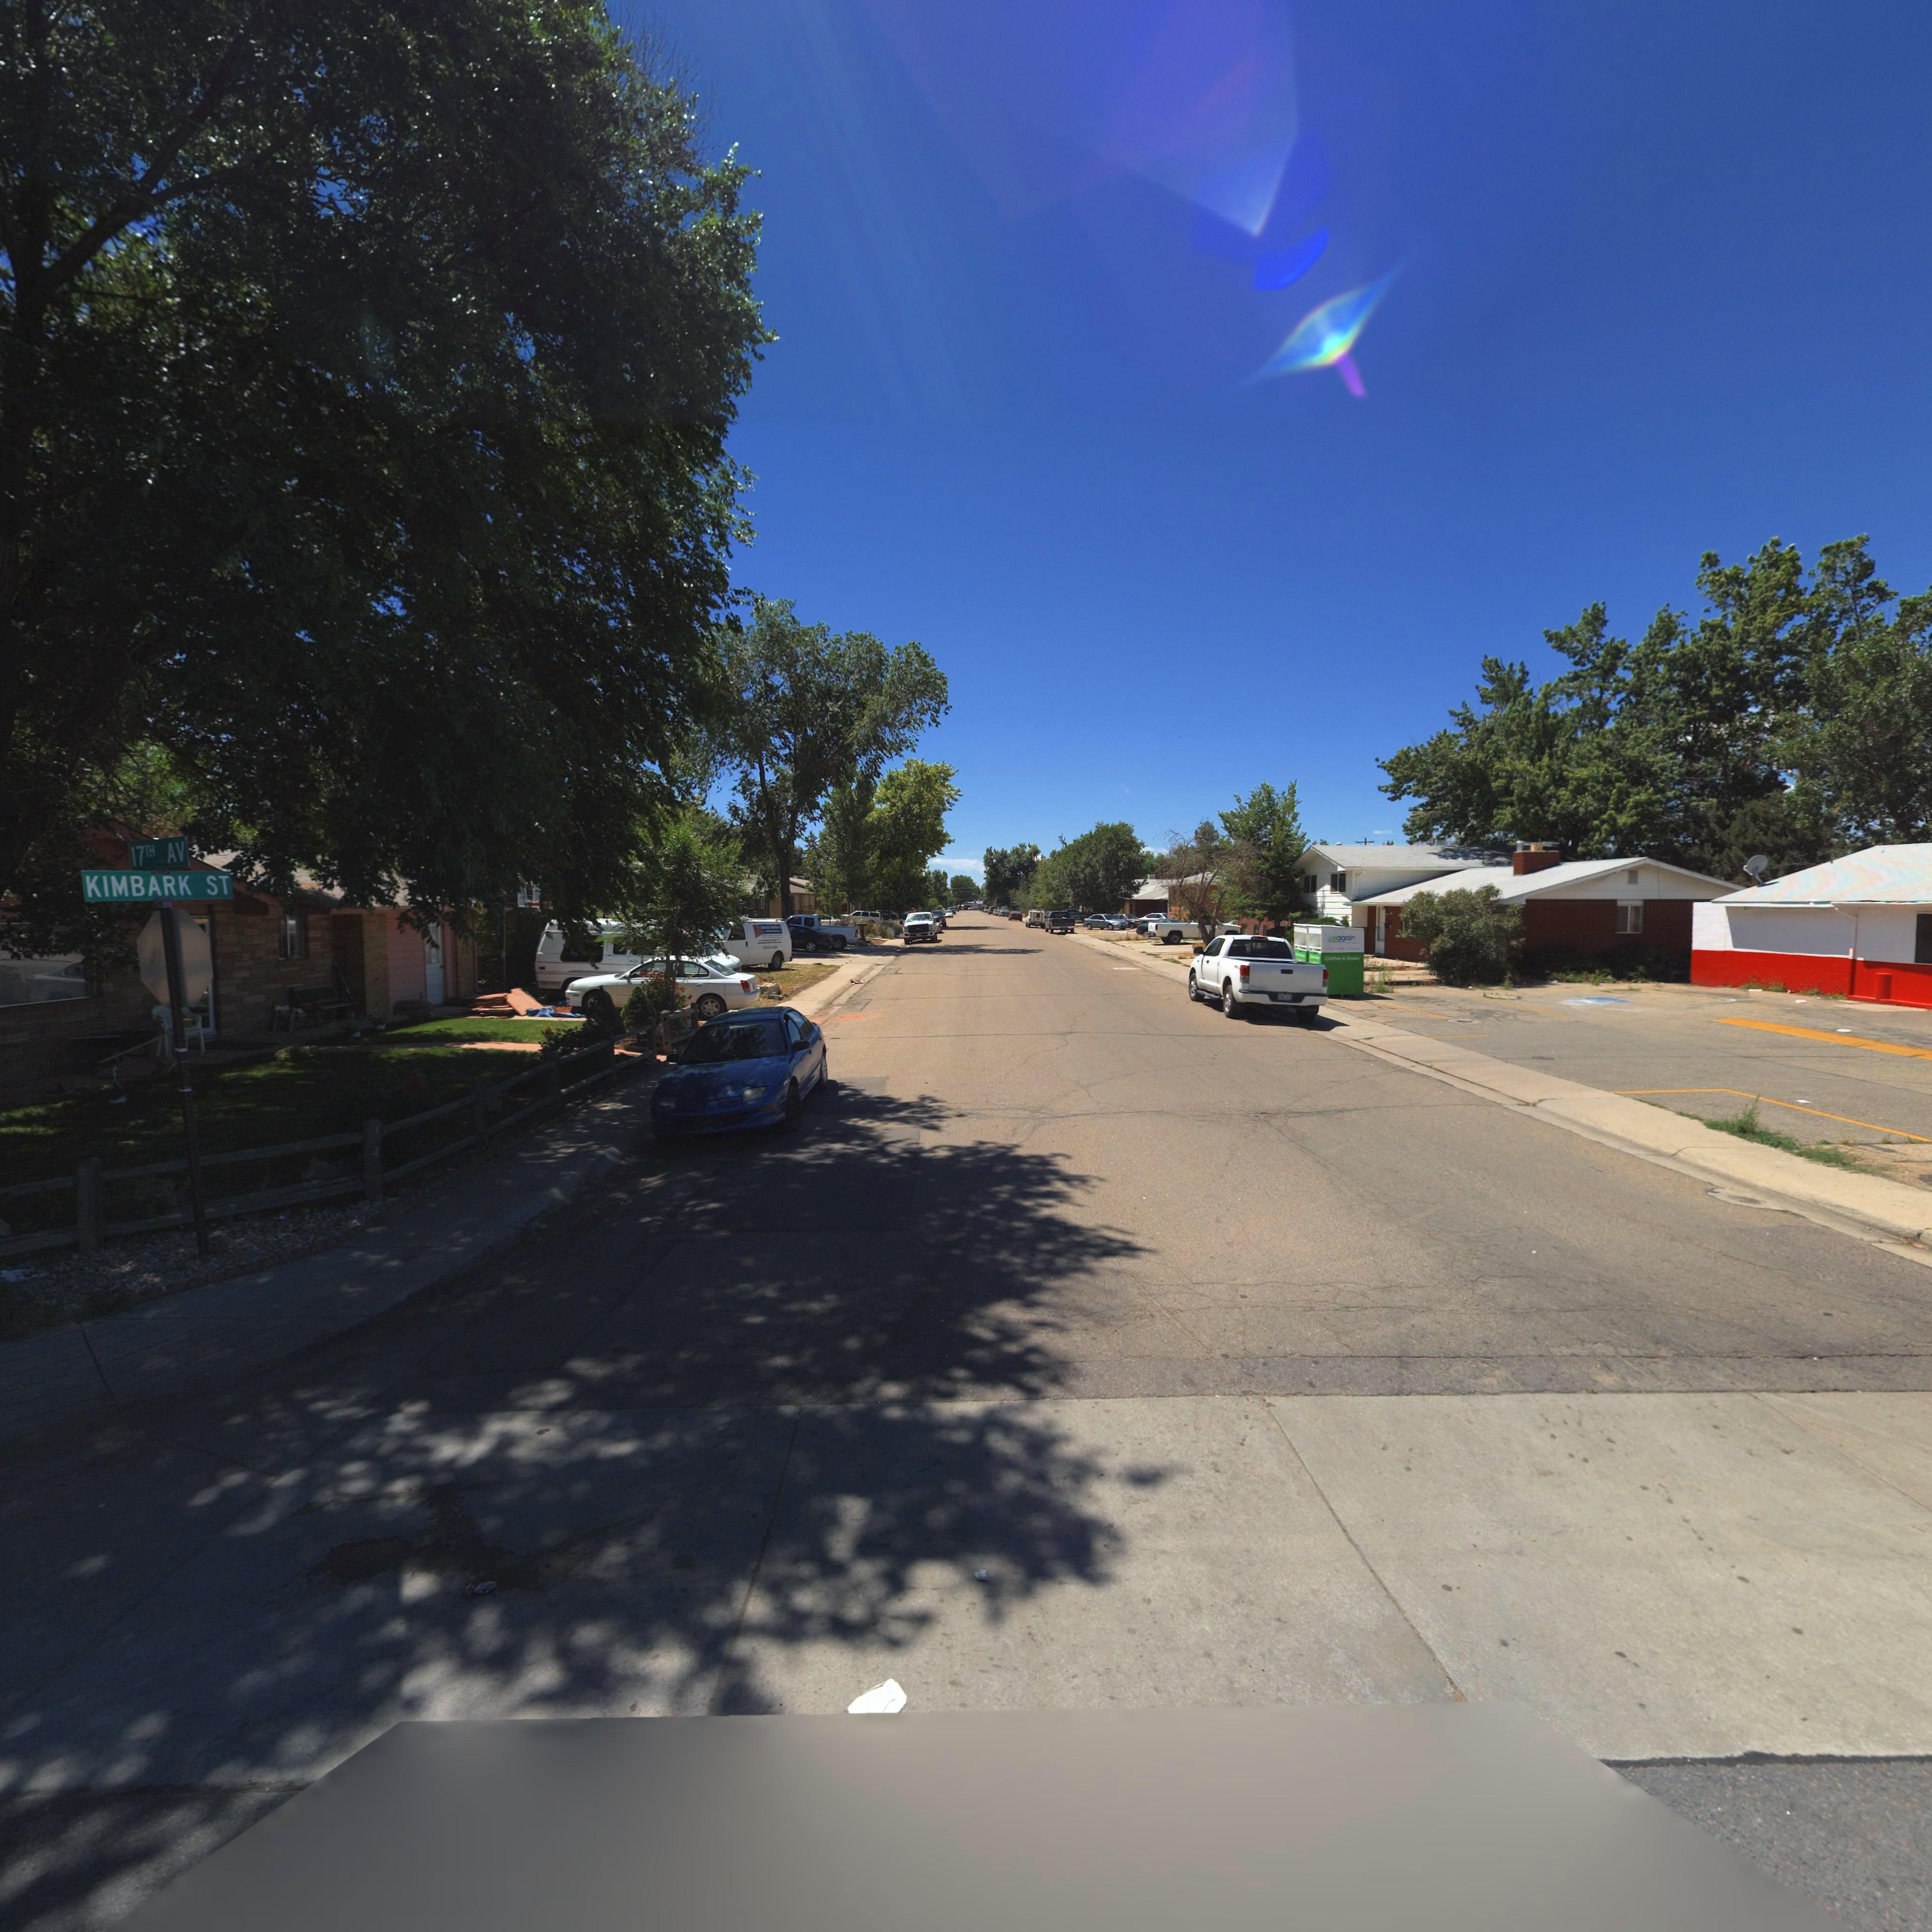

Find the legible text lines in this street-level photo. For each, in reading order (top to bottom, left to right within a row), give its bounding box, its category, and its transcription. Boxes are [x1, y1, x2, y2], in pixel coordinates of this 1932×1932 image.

[129, 839, 185, 868] StreetName: 17TH AV
[85, 874, 230, 898] StreetName: KIMBARK ST